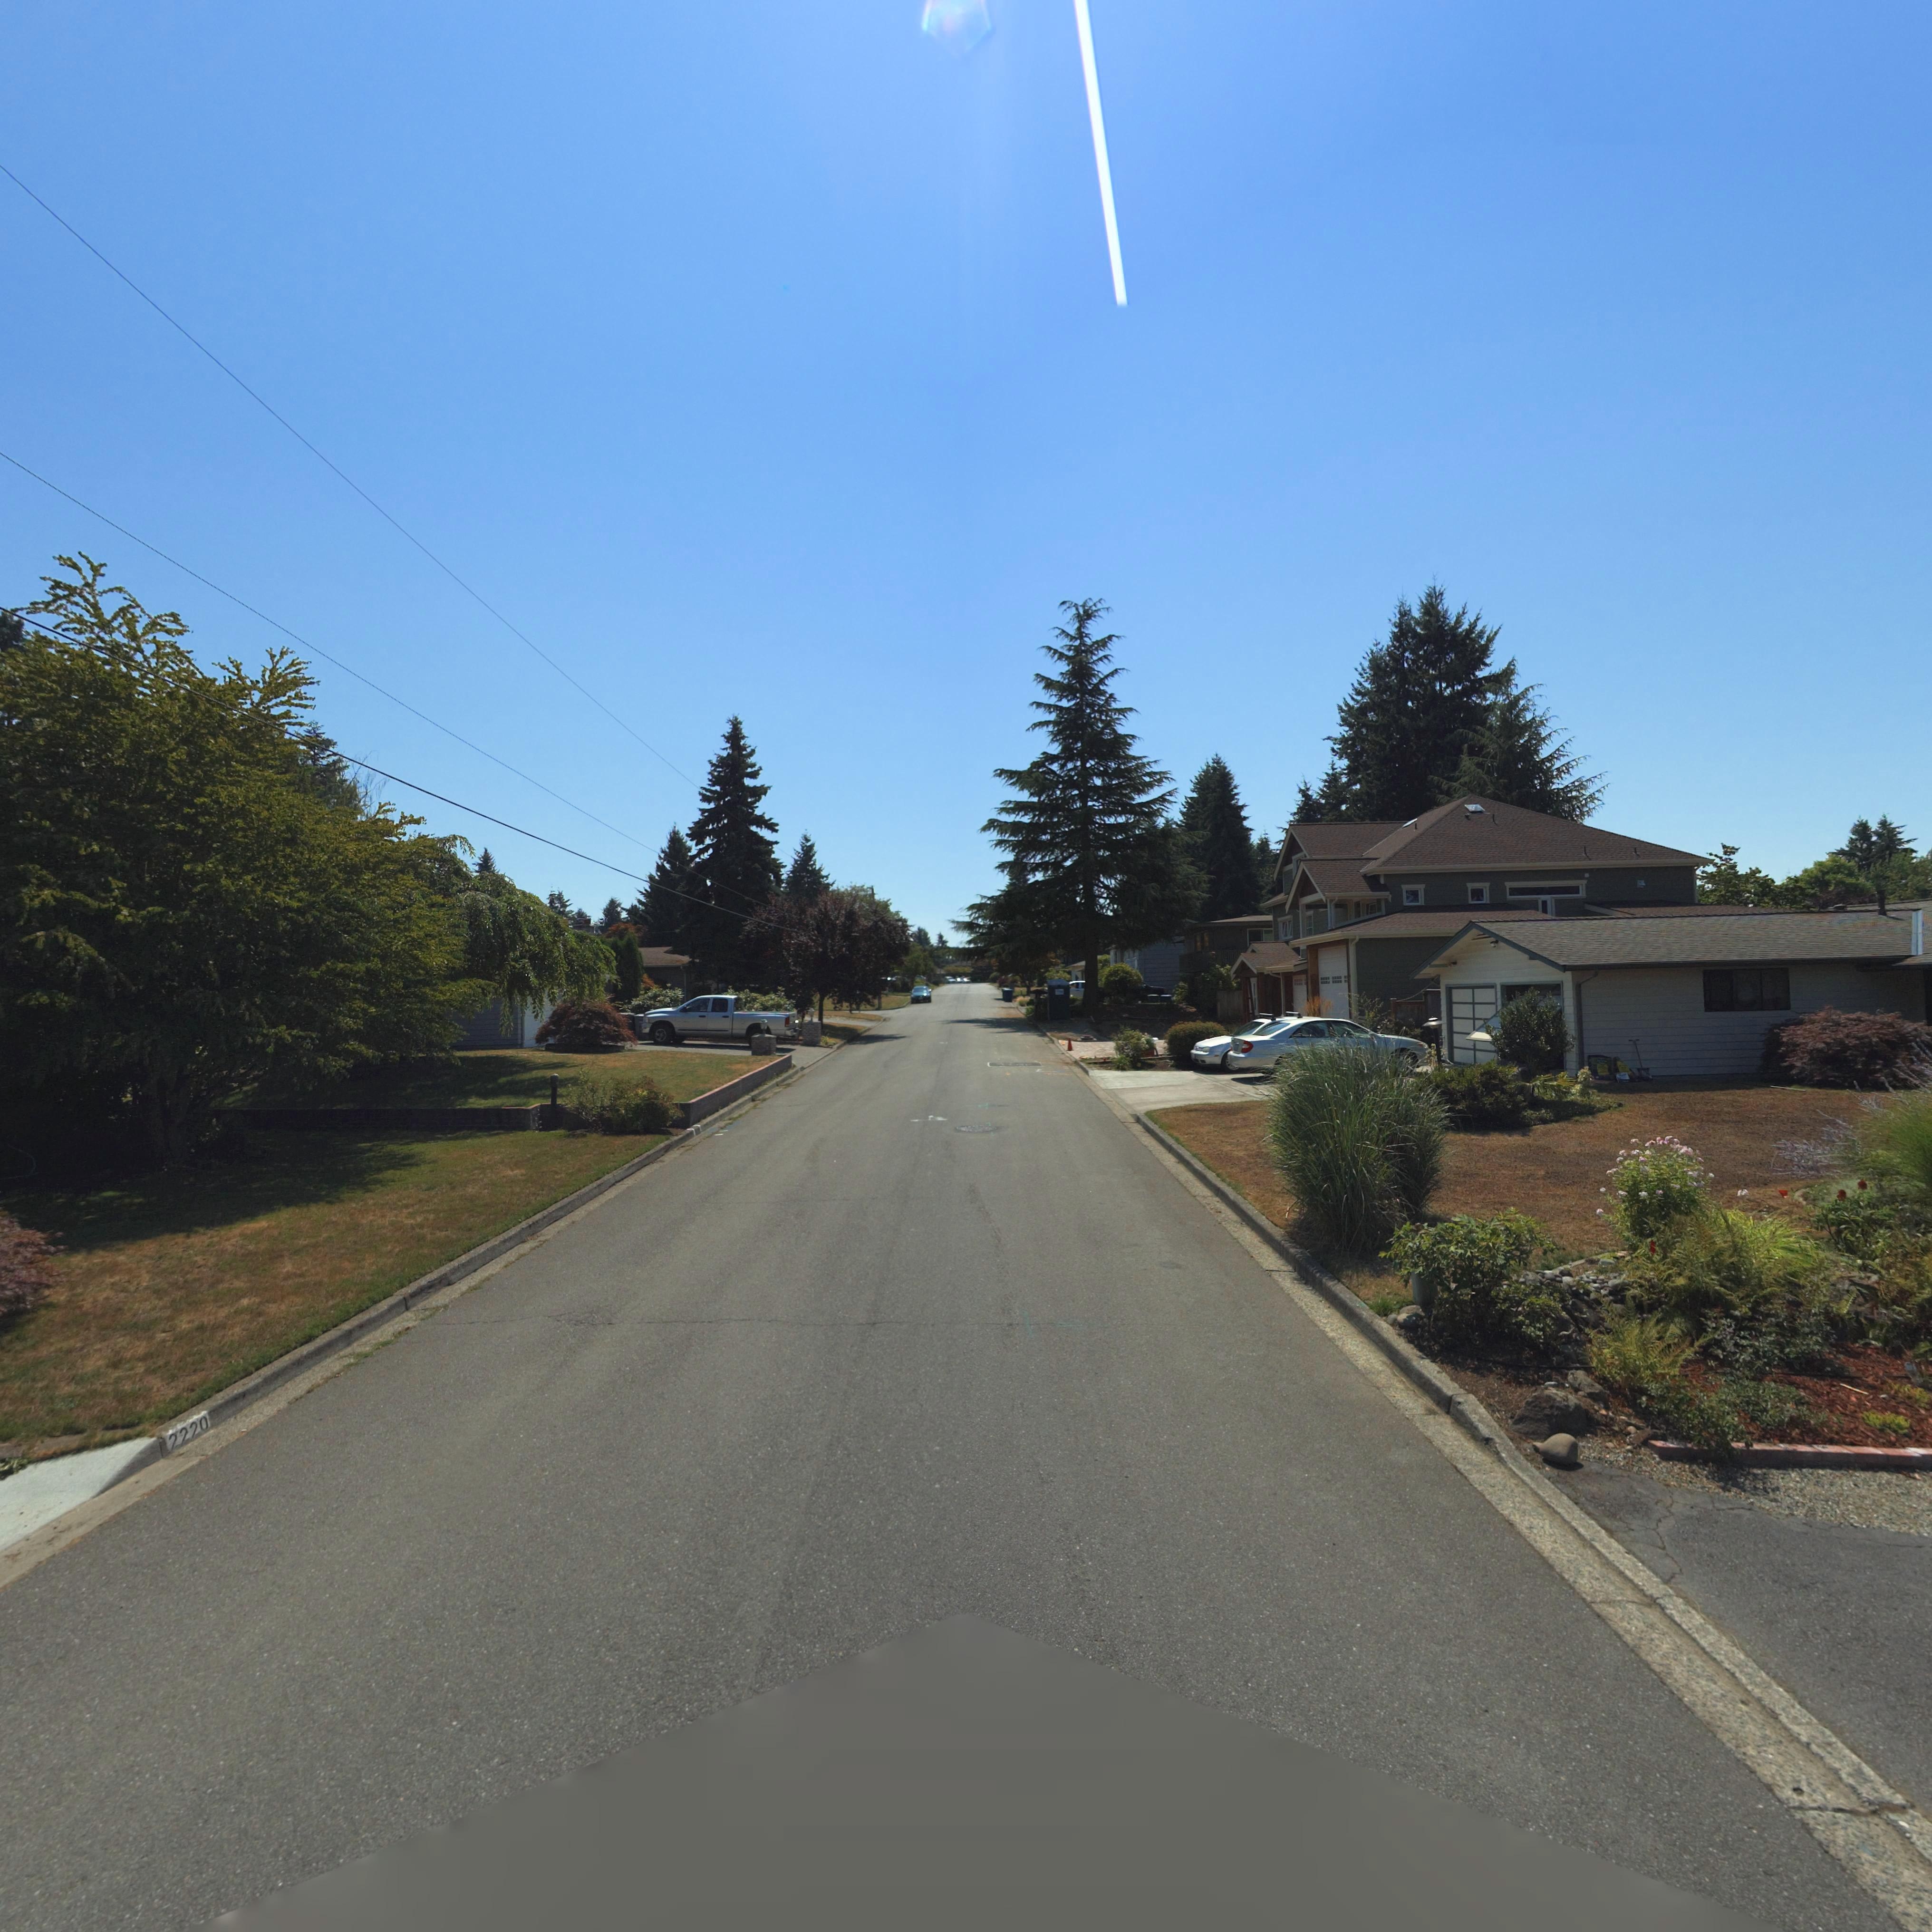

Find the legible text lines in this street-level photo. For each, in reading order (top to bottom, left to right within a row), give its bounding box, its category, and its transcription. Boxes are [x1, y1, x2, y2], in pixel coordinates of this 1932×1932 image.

[164, 1416, 212, 1450] StreetNumber: 2220